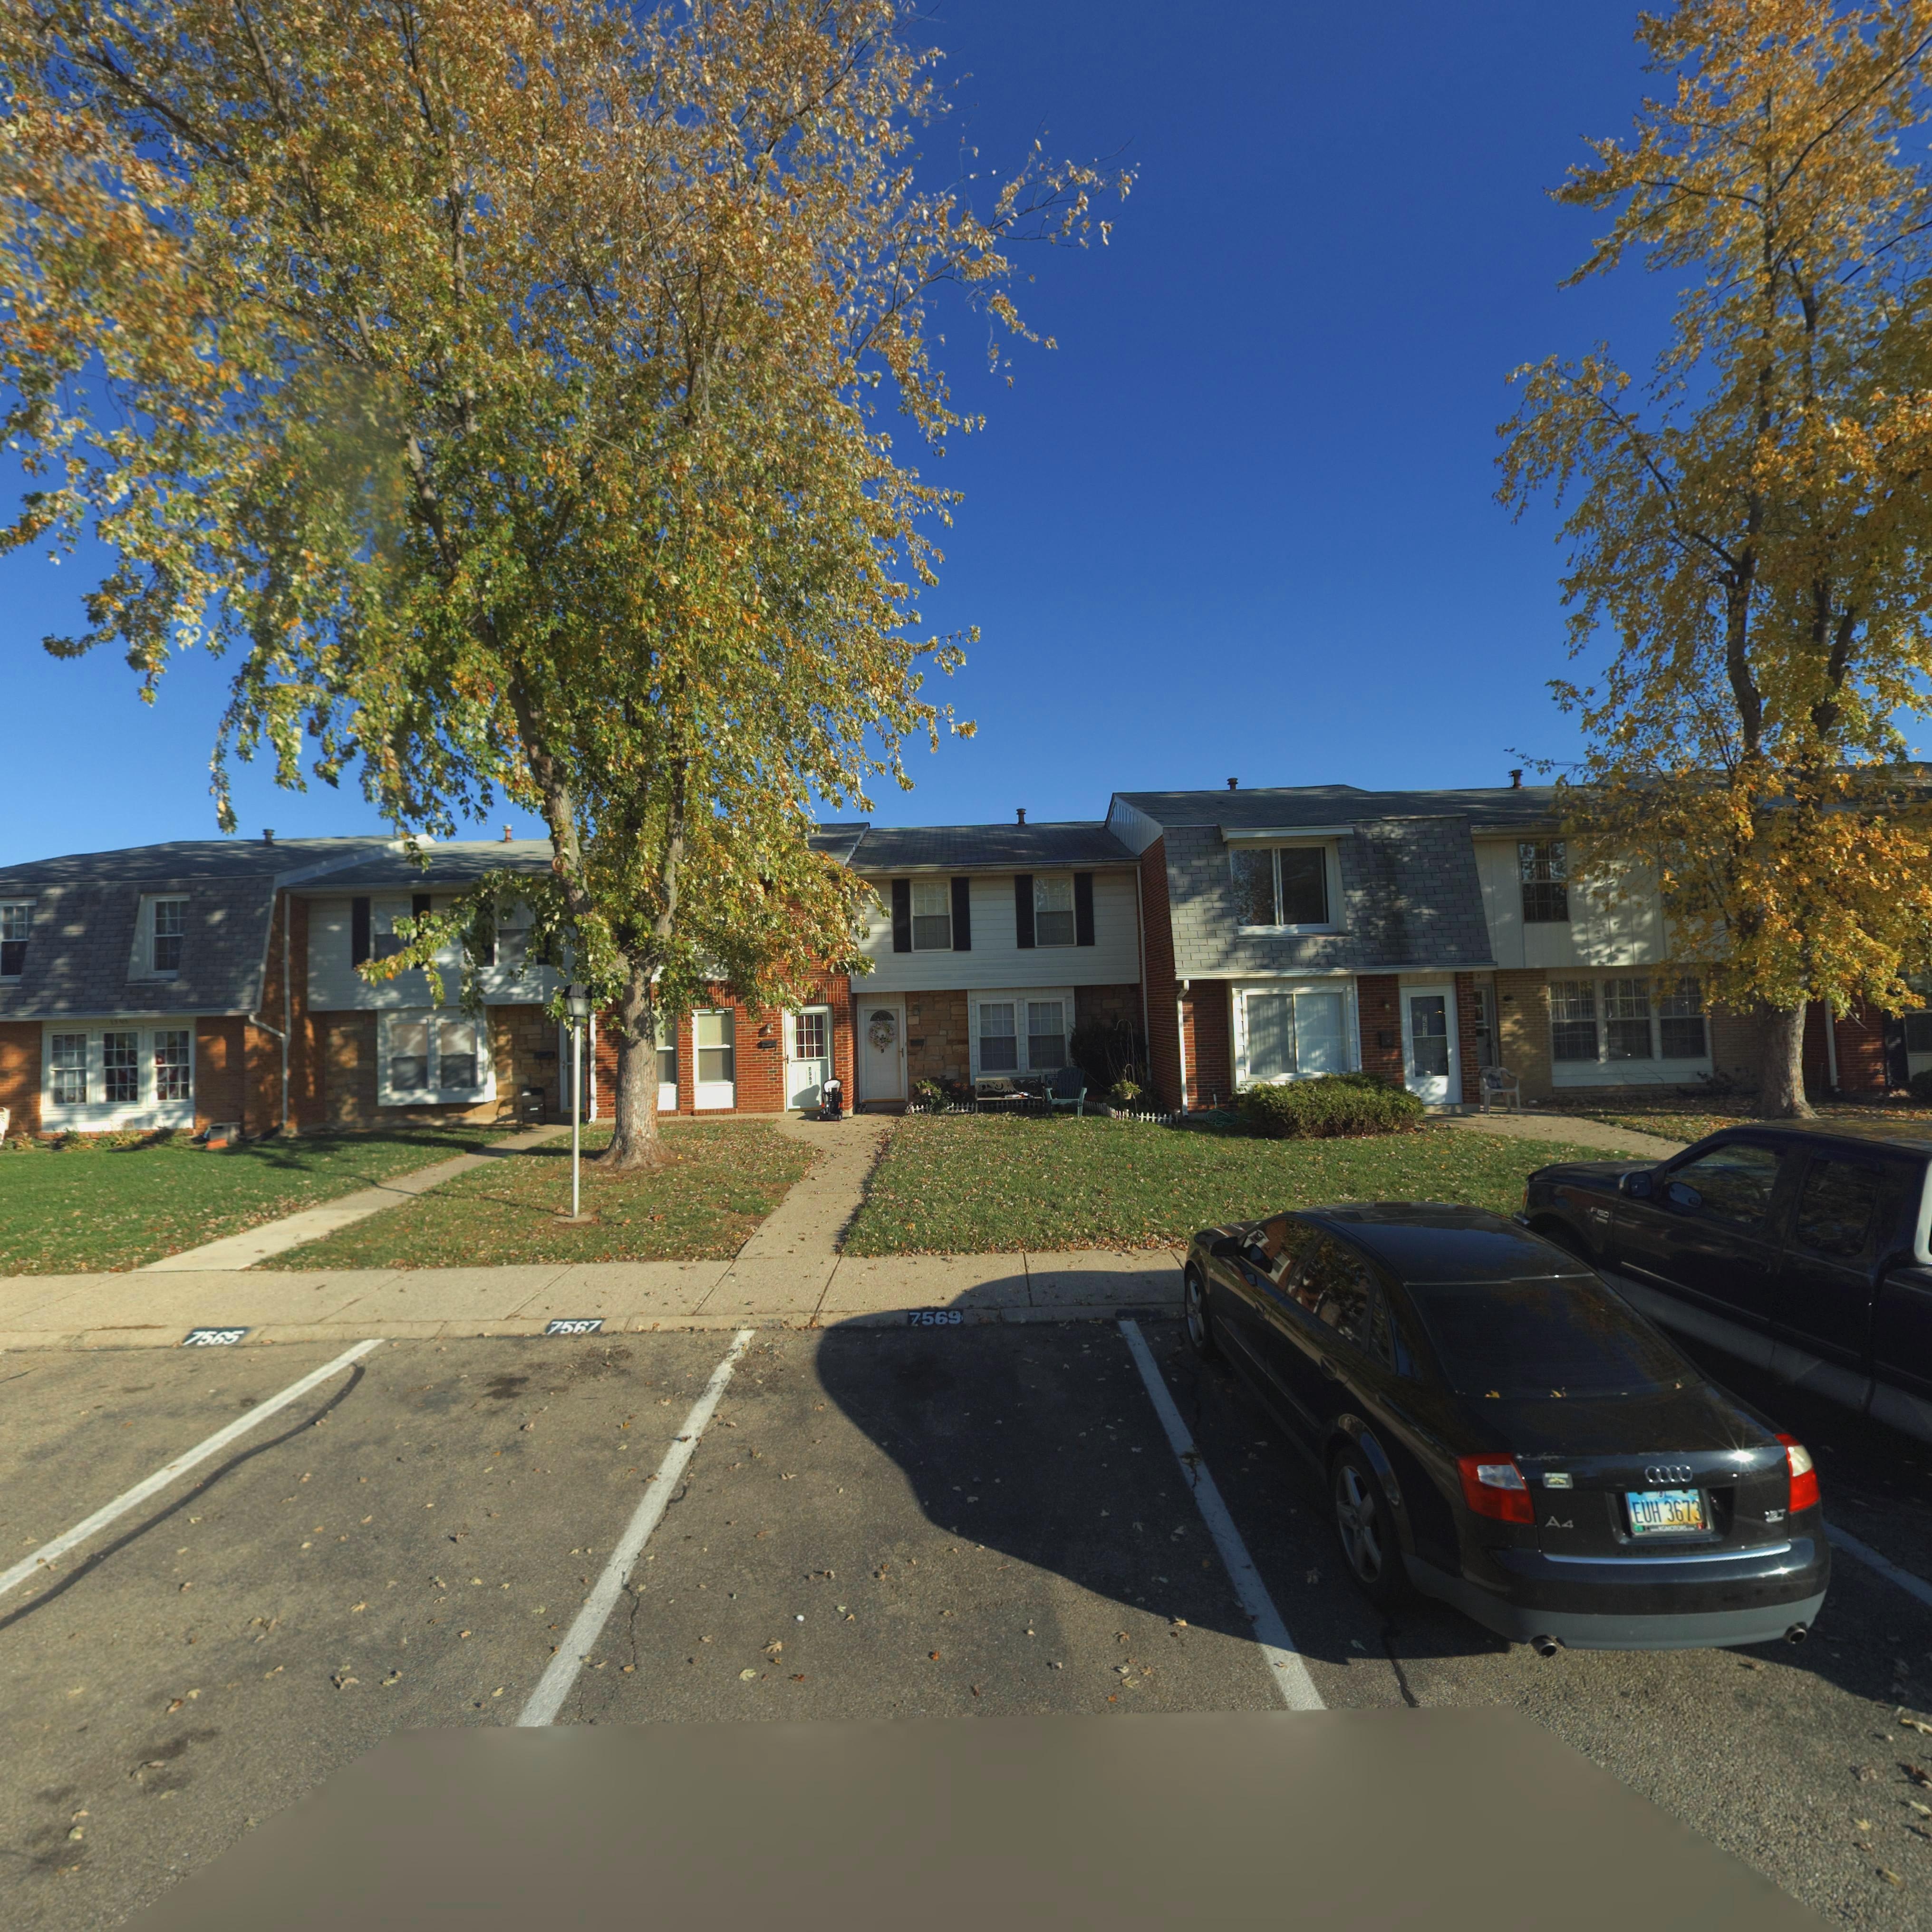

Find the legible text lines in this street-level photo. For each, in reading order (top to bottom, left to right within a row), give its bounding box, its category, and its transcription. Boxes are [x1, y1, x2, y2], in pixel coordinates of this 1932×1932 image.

[1476, 973, 1481, 979] StreetNumber: 3
[107, 1019, 119, 1026] StreetNumber: 75
[1422, 1014, 1427, 1037] StreetNumber: 7571
[808, 1066, 812, 1085] StreetNumber: 7567
[909, 1310, 962, 1326] StreetNumber: 7569
[545, 1319, 604, 1335] StreetNumber: 7567
[178, 1330, 246, 1347] StreetNumber: 7565